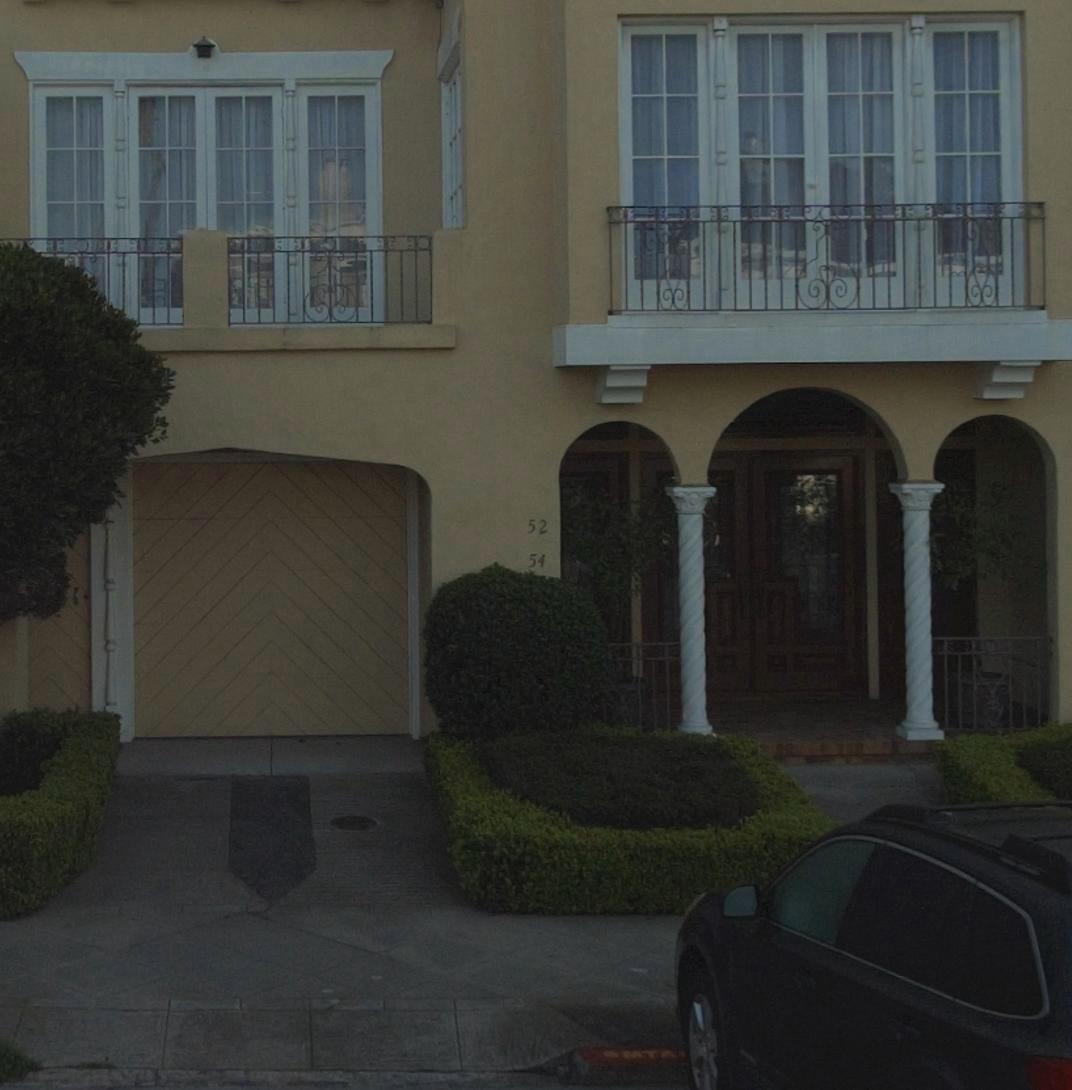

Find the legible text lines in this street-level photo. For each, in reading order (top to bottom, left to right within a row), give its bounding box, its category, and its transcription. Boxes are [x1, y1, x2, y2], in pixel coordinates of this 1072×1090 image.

[527, 517, 550, 537] StreetNumber: 52
[525, 551, 548, 571] StreetNumber: 54
[618, 1047, 681, 1062] None: MTA